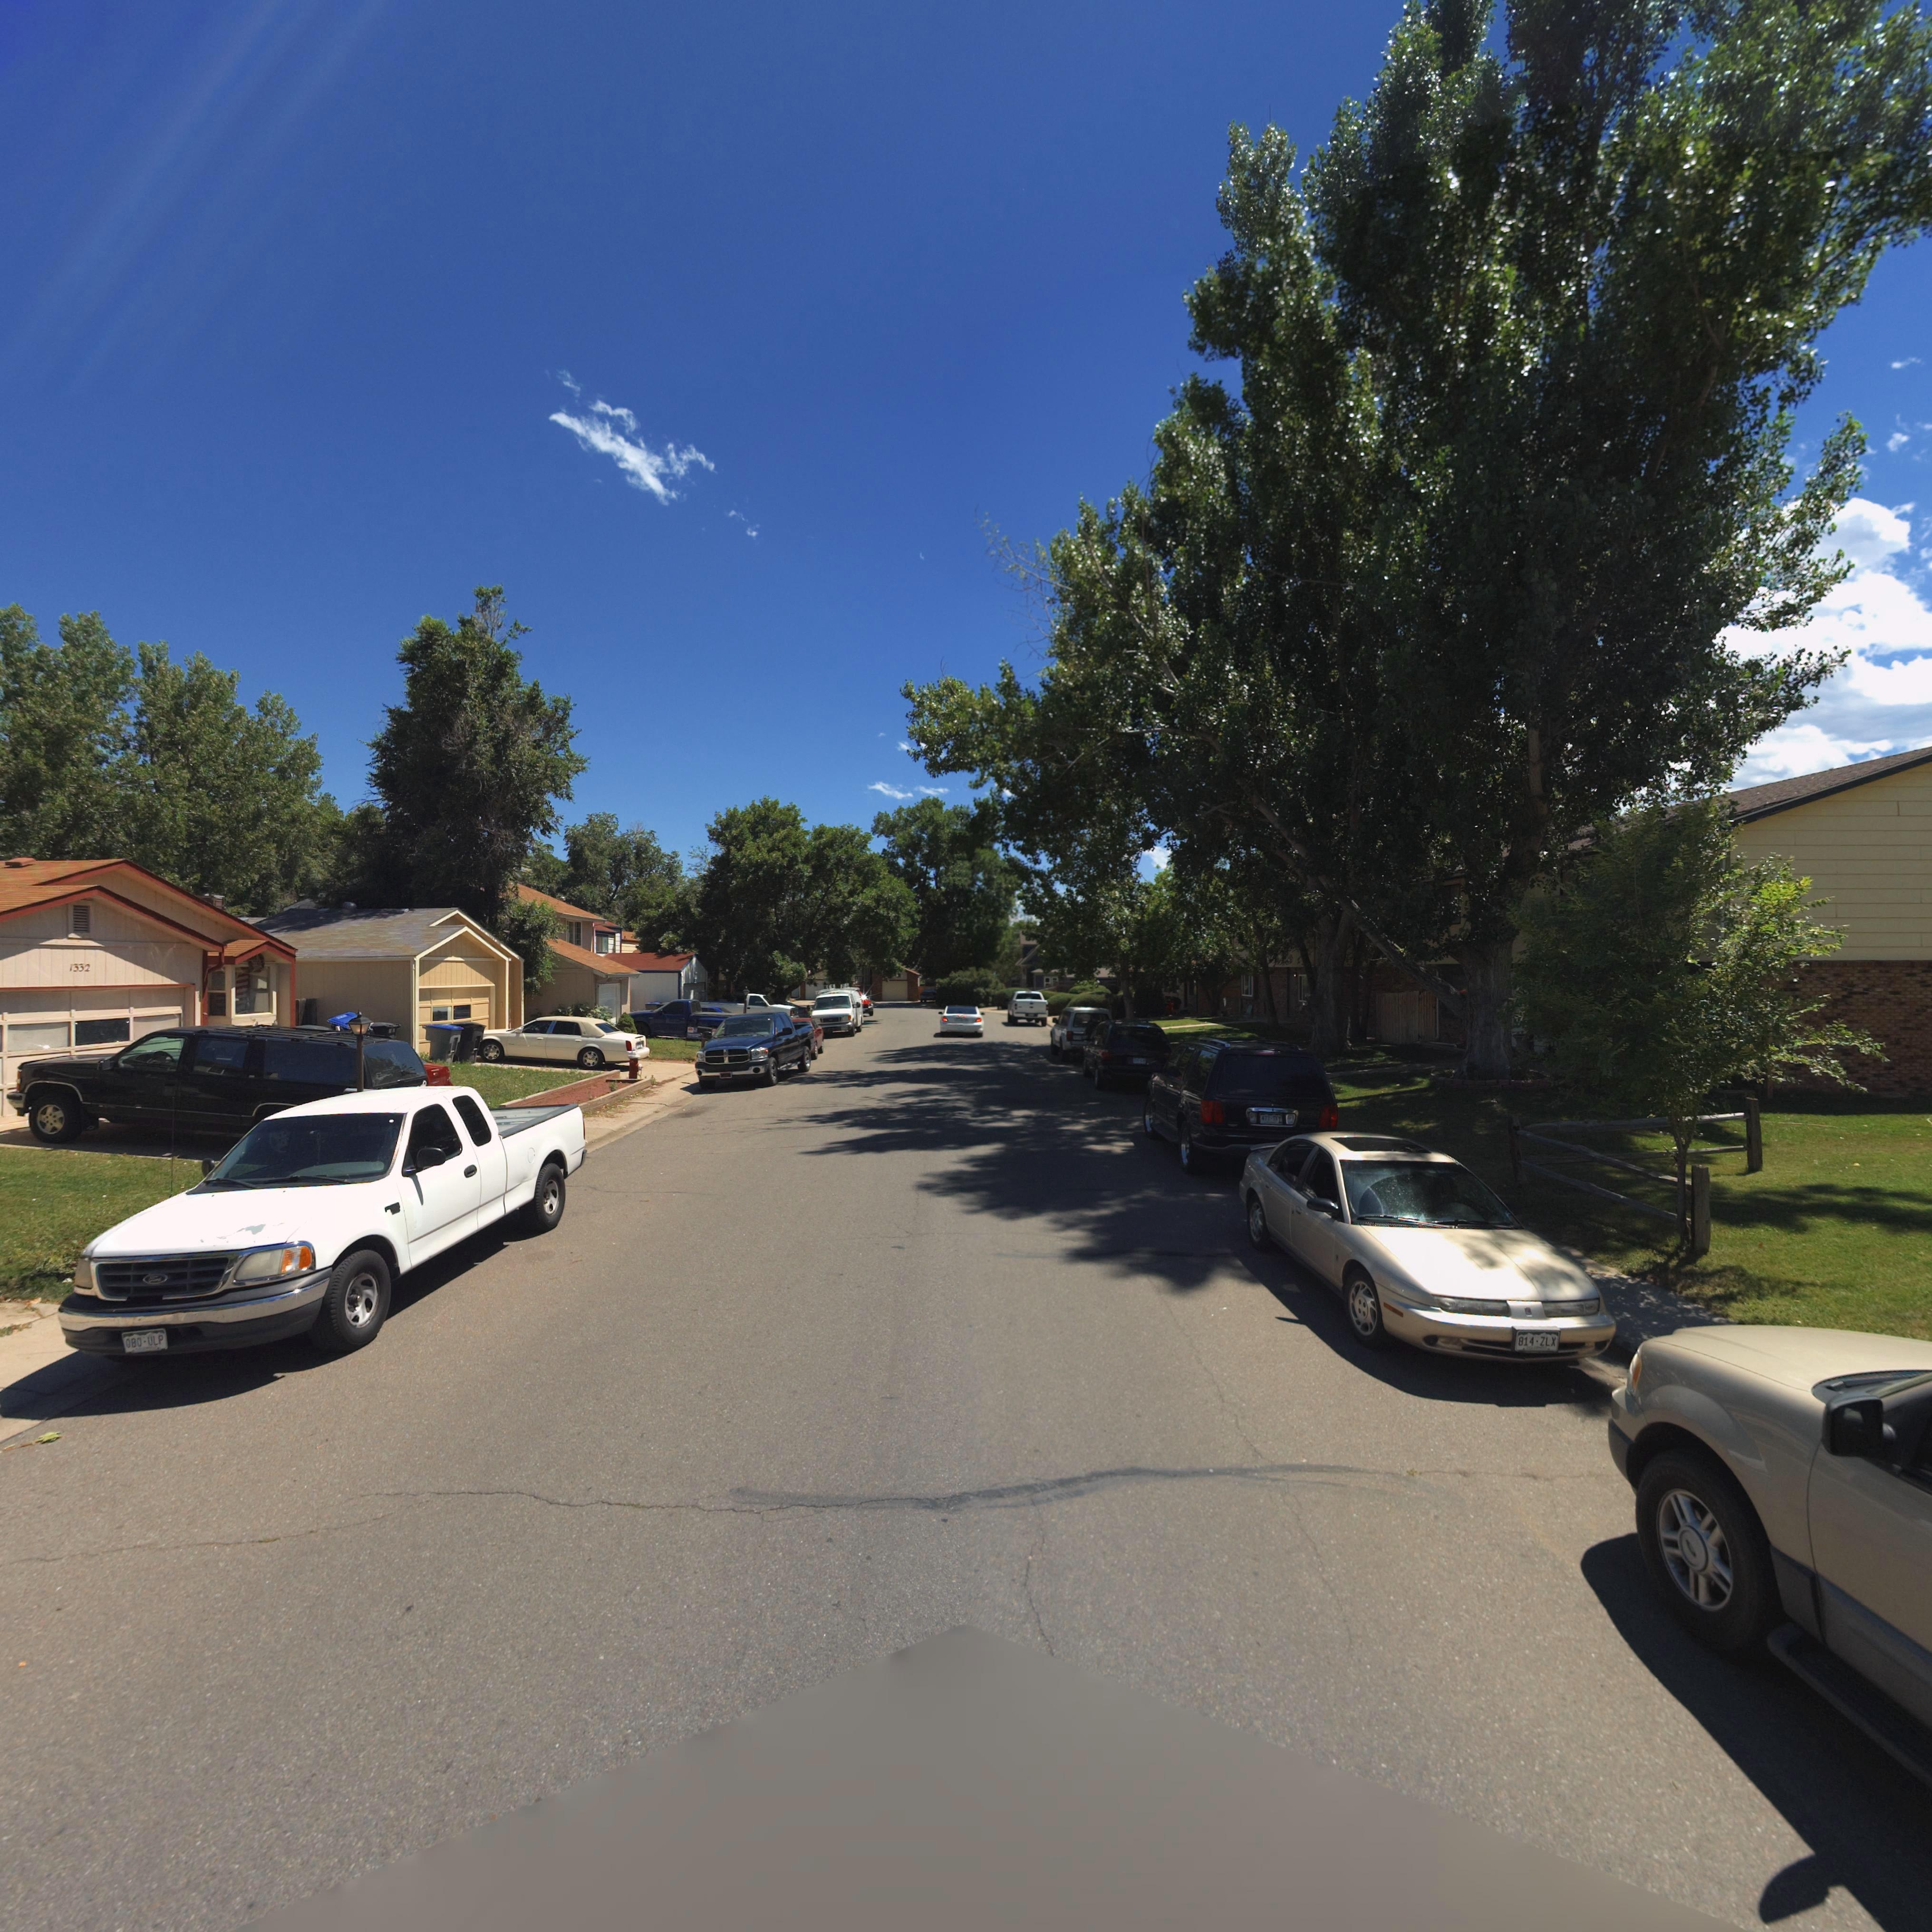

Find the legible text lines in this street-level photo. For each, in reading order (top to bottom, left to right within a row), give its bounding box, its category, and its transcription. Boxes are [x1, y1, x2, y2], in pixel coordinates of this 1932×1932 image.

[69, 962, 91, 973] StreetNumber: 1332